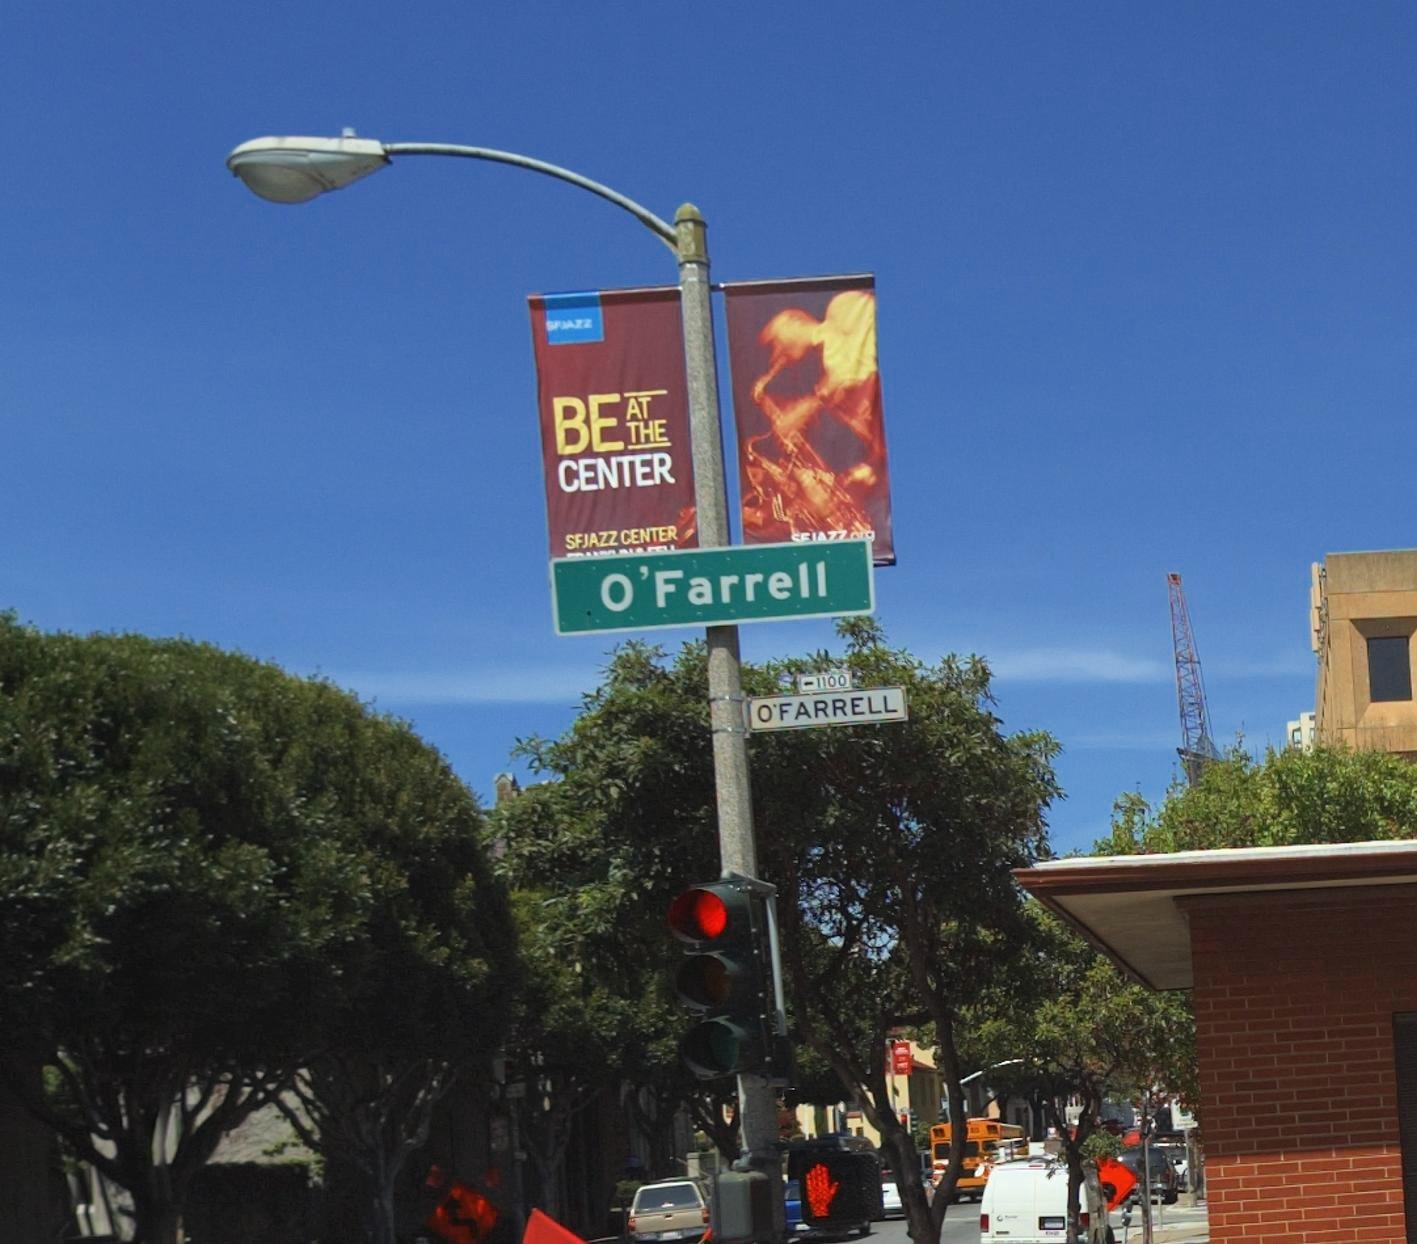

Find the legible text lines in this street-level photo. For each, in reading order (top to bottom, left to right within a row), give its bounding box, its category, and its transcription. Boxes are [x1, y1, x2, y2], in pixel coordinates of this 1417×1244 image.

[550, 390, 626, 458] None: BE
[624, 395, 653, 420] None: AT
[624, 418, 670, 445] None: THE
[556, 450, 678, 495] None: CENTER
[563, 523, 678, 550] None: SFJAZZ CENTER
[599, 559, 830, 616] StreetName: O'Farrell
[799, 673, 852, 691] StreetNumberRange: <-1100
[753, 692, 900, 726] StreetName: O'FARRELL